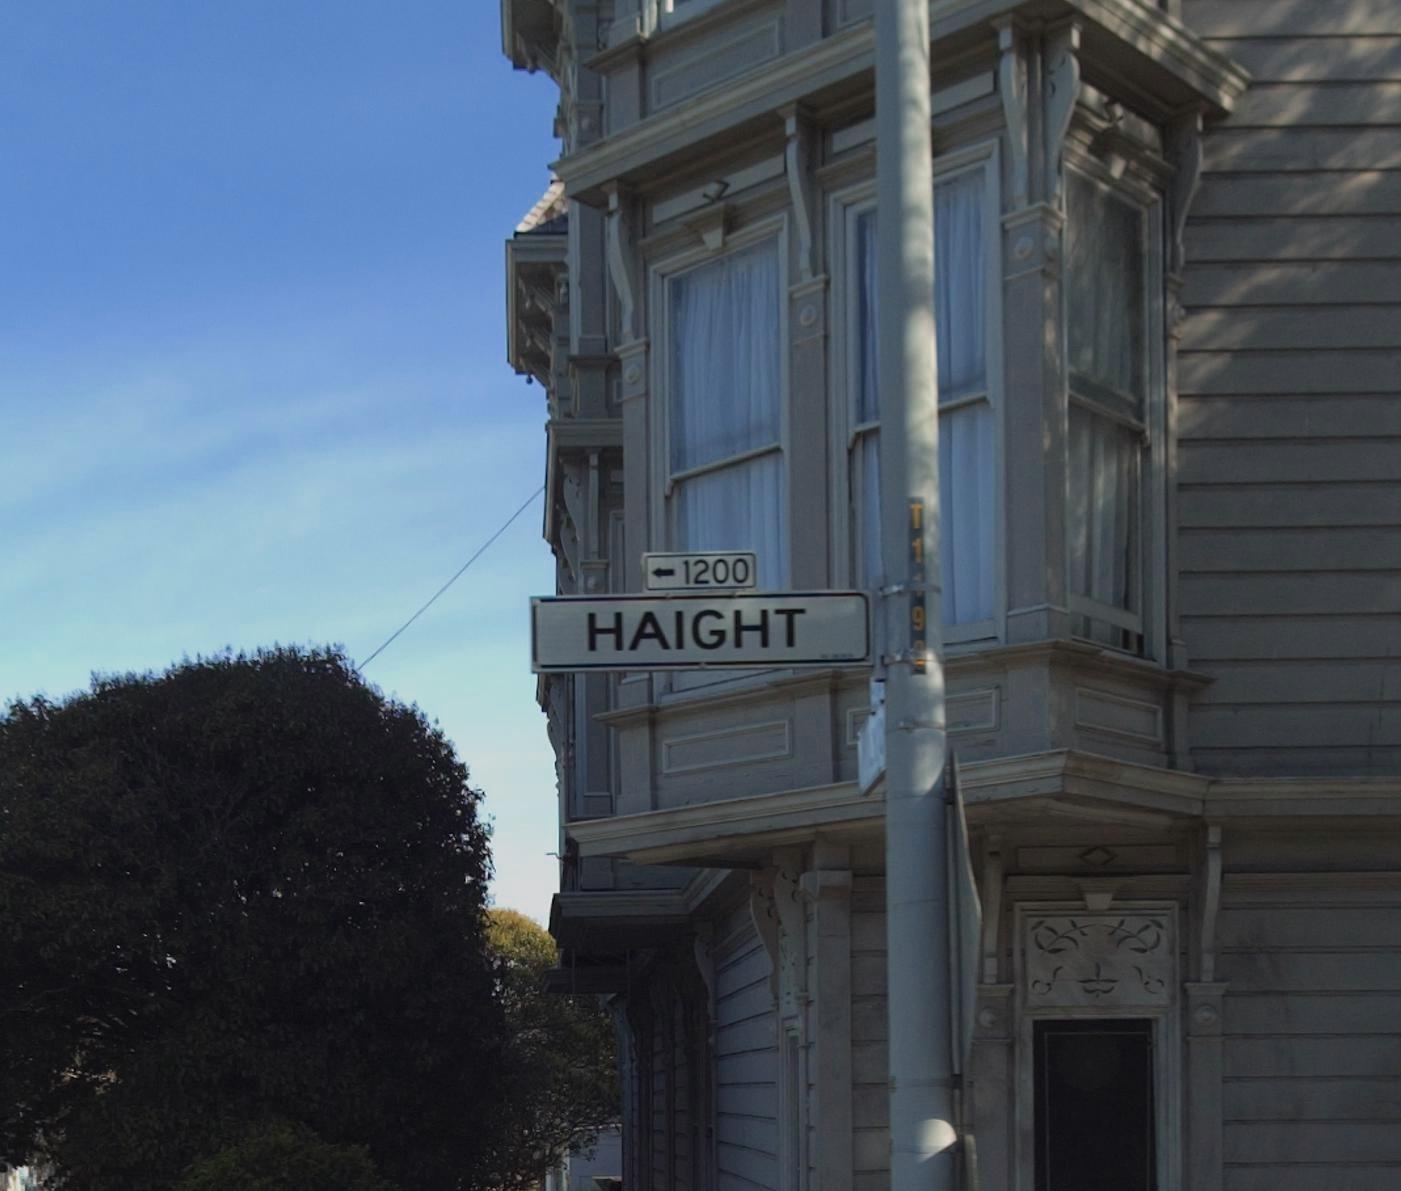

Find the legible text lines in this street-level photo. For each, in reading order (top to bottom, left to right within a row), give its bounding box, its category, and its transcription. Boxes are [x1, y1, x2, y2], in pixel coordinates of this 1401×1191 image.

[646, 551, 751, 592] StreetNumberRange: <-1200
[906, 496, 929, 673] None: T119*
[582, 603, 810, 658] StreetName: HAIGHT